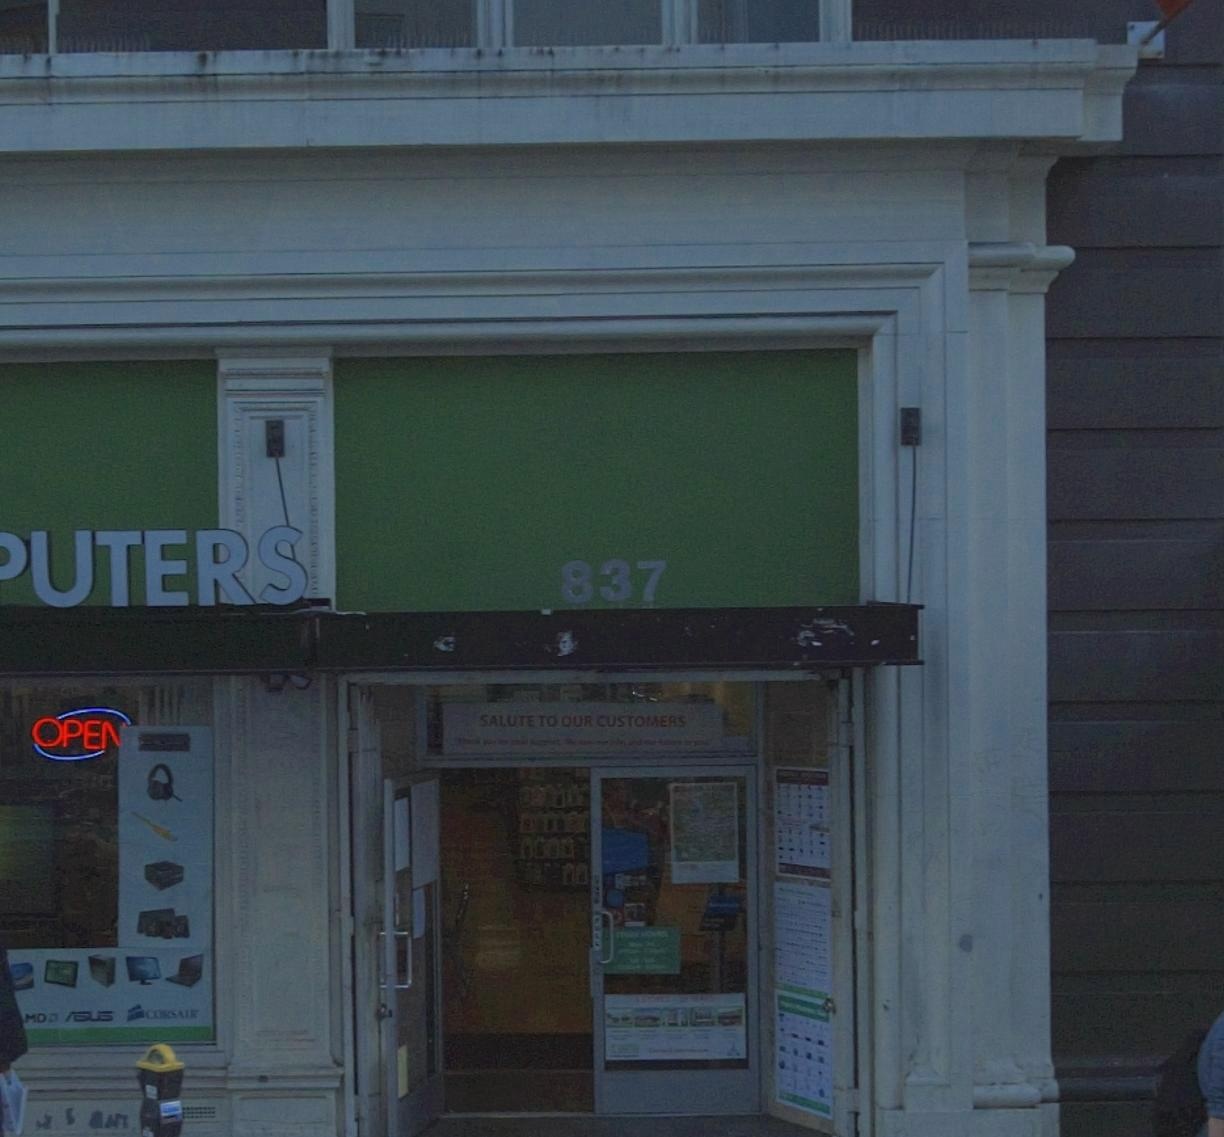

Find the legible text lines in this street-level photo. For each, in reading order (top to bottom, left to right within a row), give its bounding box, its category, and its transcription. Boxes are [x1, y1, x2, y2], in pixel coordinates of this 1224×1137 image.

[27, 524, 309, 611] BusinessName: UTERS
[558, 559, 670, 604] StreetNumber: 837
[27, 715, 103, 753] None: OPE
[476, 712, 687, 728] None: SALUTE TO OUR CUSTOMERS
[593, 916, 601, 947] None: PULL
[24, 1012, 48, 1024] None: MD
[63, 1010, 114, 1023] None: ASUS
[144, 1008, 198, 1020] None: CORSAIR